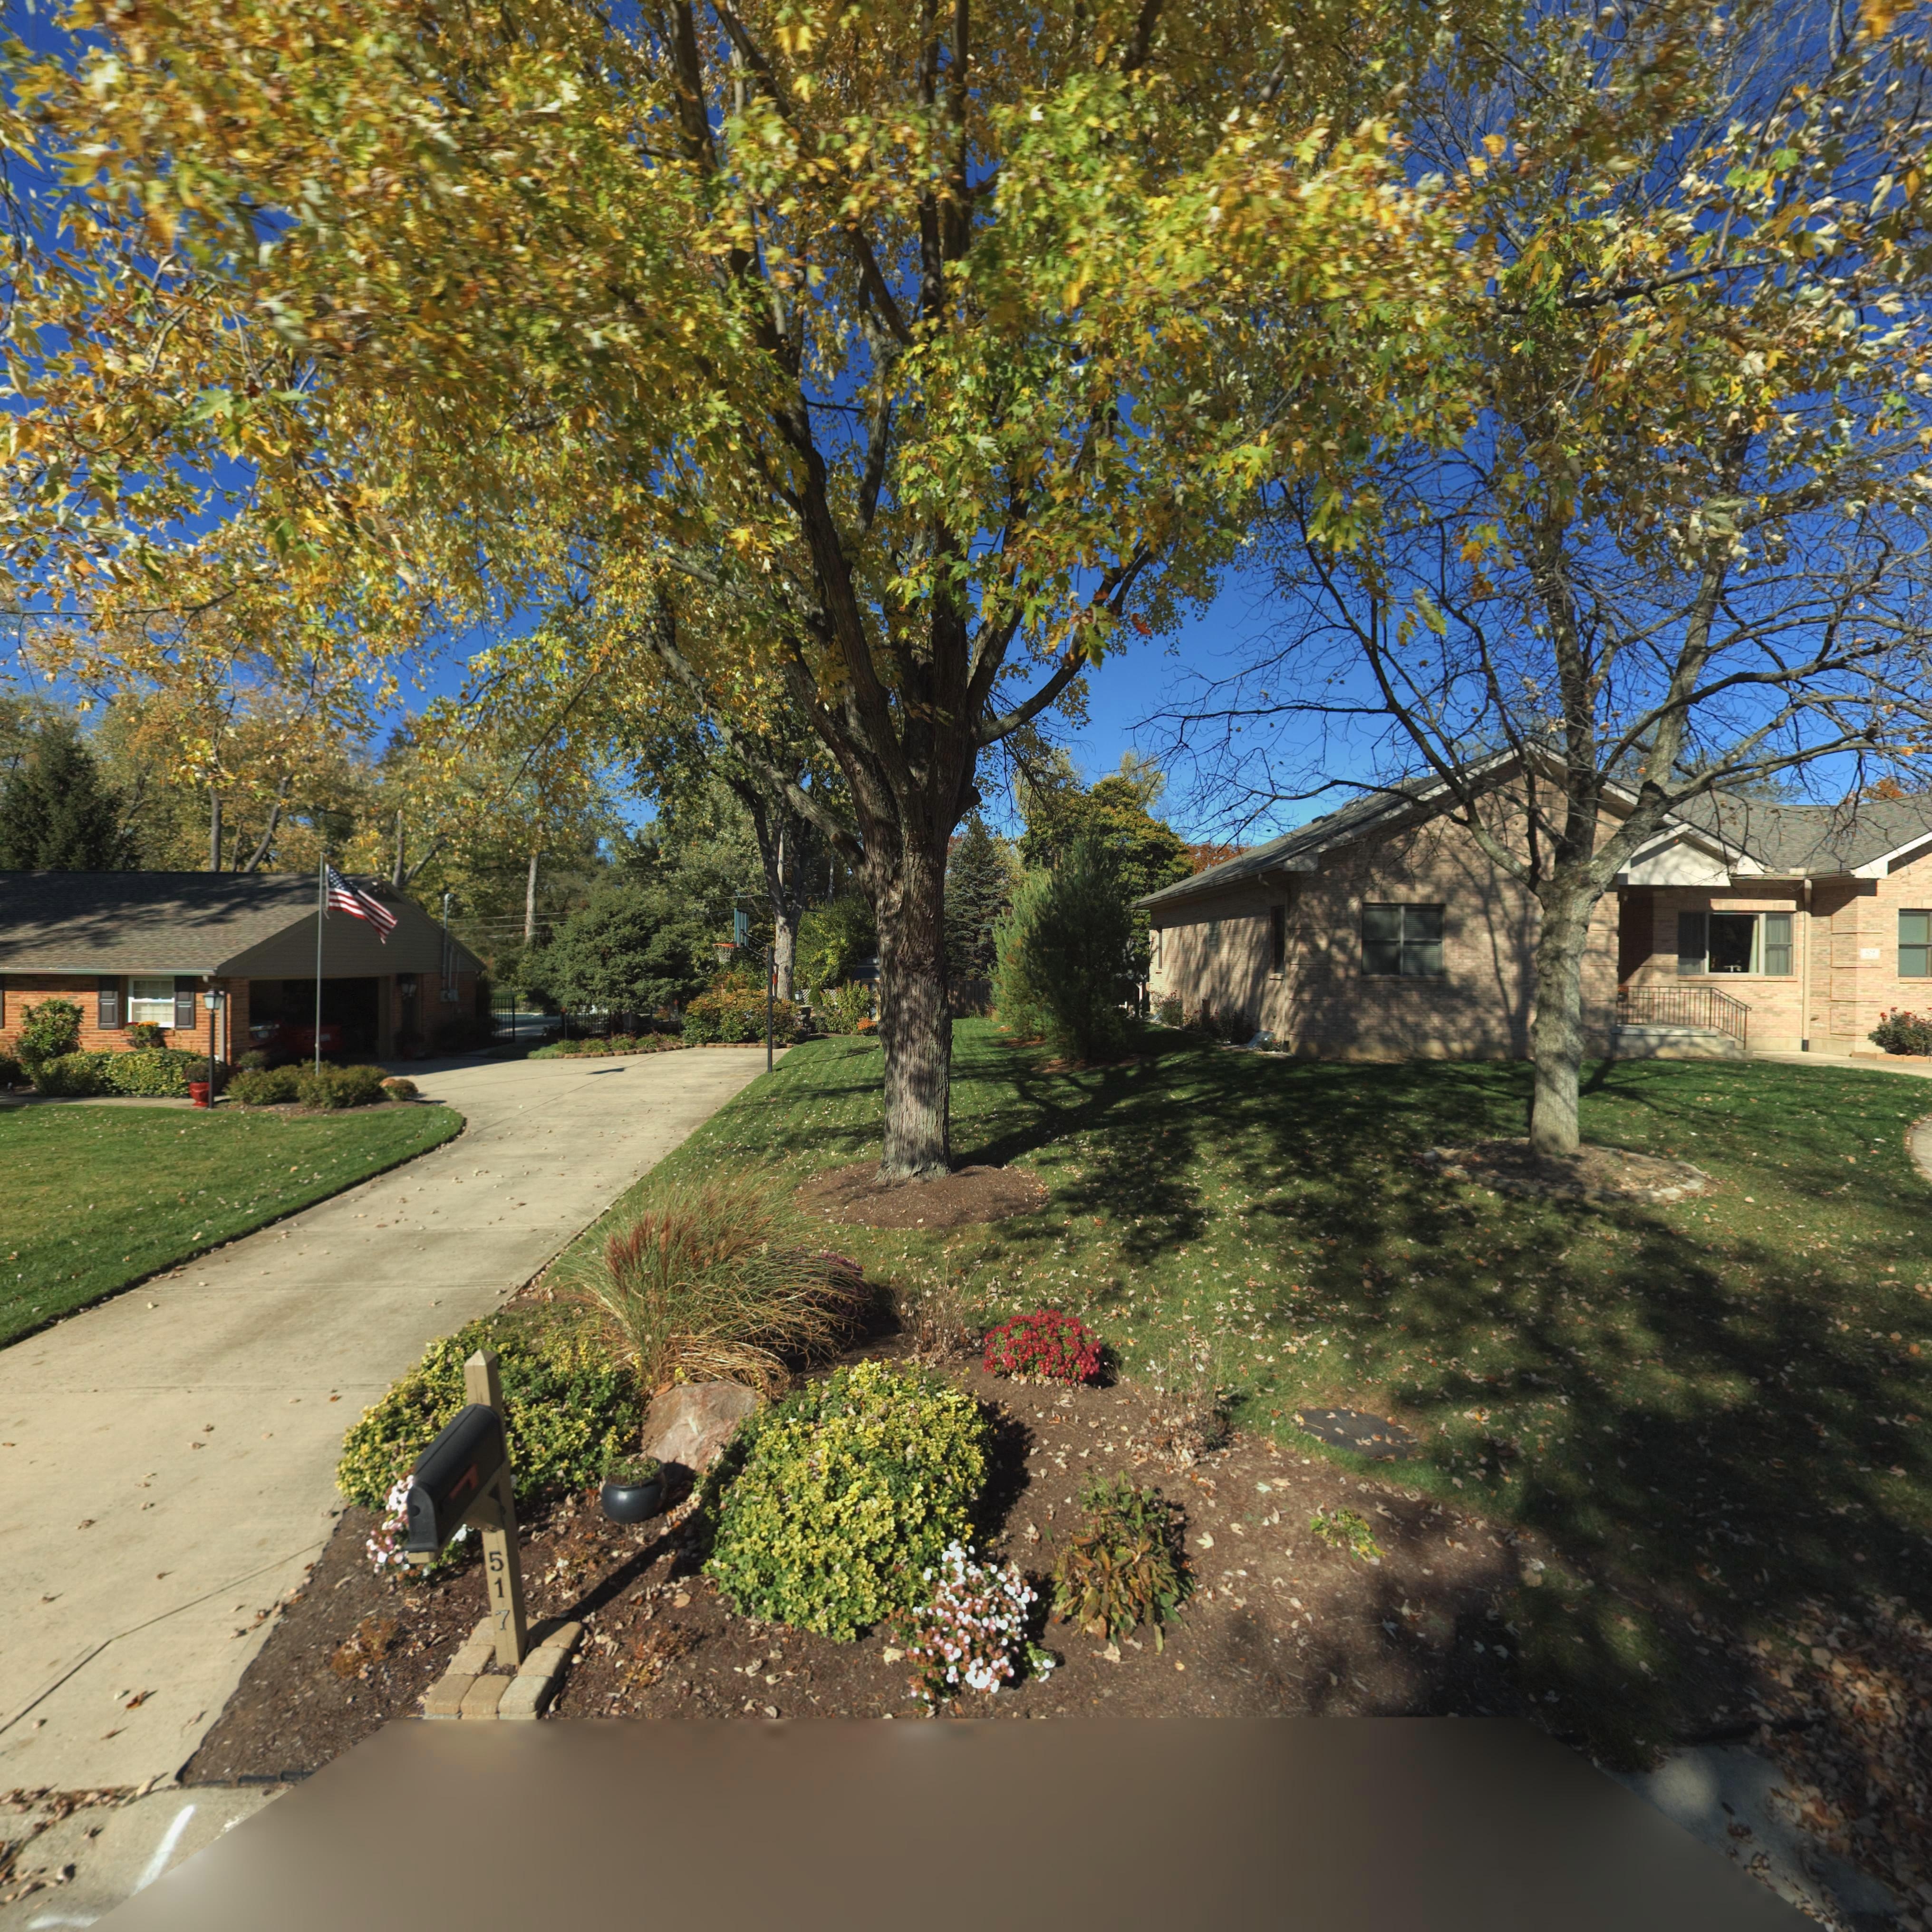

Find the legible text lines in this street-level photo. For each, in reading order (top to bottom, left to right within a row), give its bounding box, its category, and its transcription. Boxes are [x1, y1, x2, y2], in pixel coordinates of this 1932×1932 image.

[487, 1549, 511, 1632] StreetNumber: 517